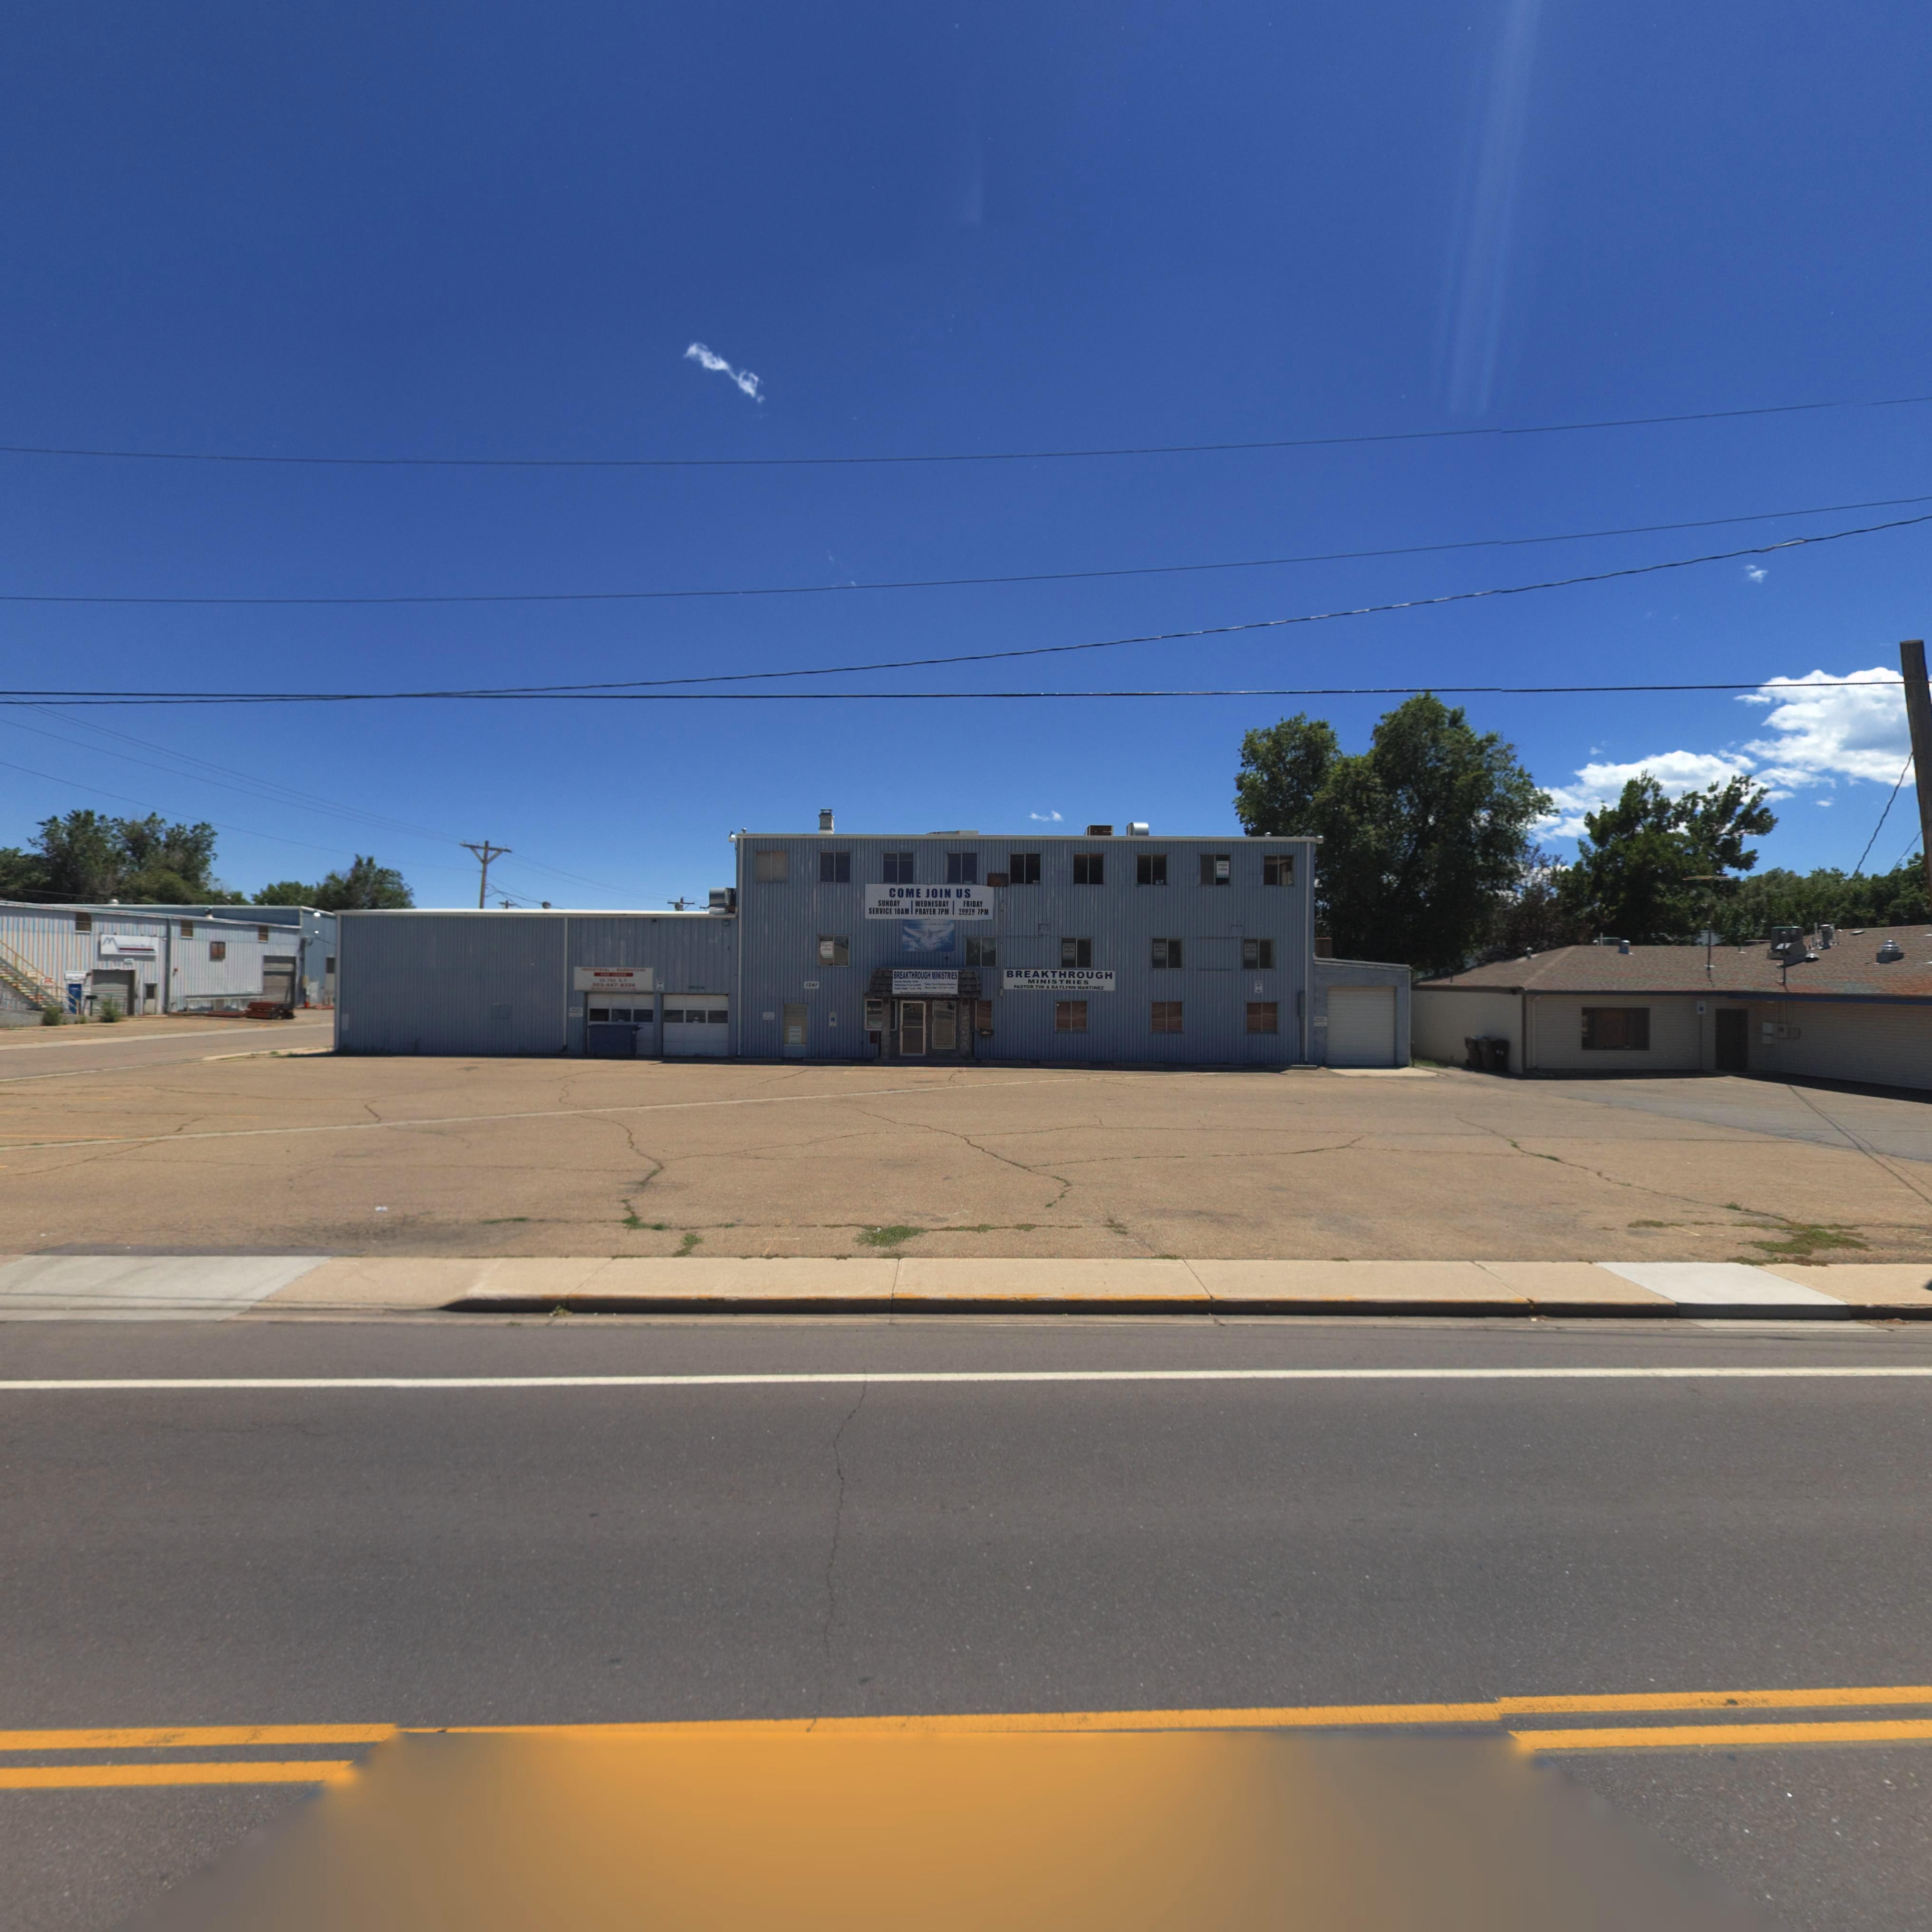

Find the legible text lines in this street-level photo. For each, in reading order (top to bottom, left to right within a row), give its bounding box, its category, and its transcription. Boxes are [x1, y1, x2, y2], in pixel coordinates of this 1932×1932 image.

[101, 937, 117, 947] BusinessName: M
[893, 970, 957, 979] BusinessName: BREAKTHROUGH MINISTRIES
[1006, 970, 1112, 979] BusinessName: BREAKTHROUGH
[805, 982, 818, 987] StreetNumber: 124*
[1028, 978, 1089, 984] BusinessName: MINISTRIES